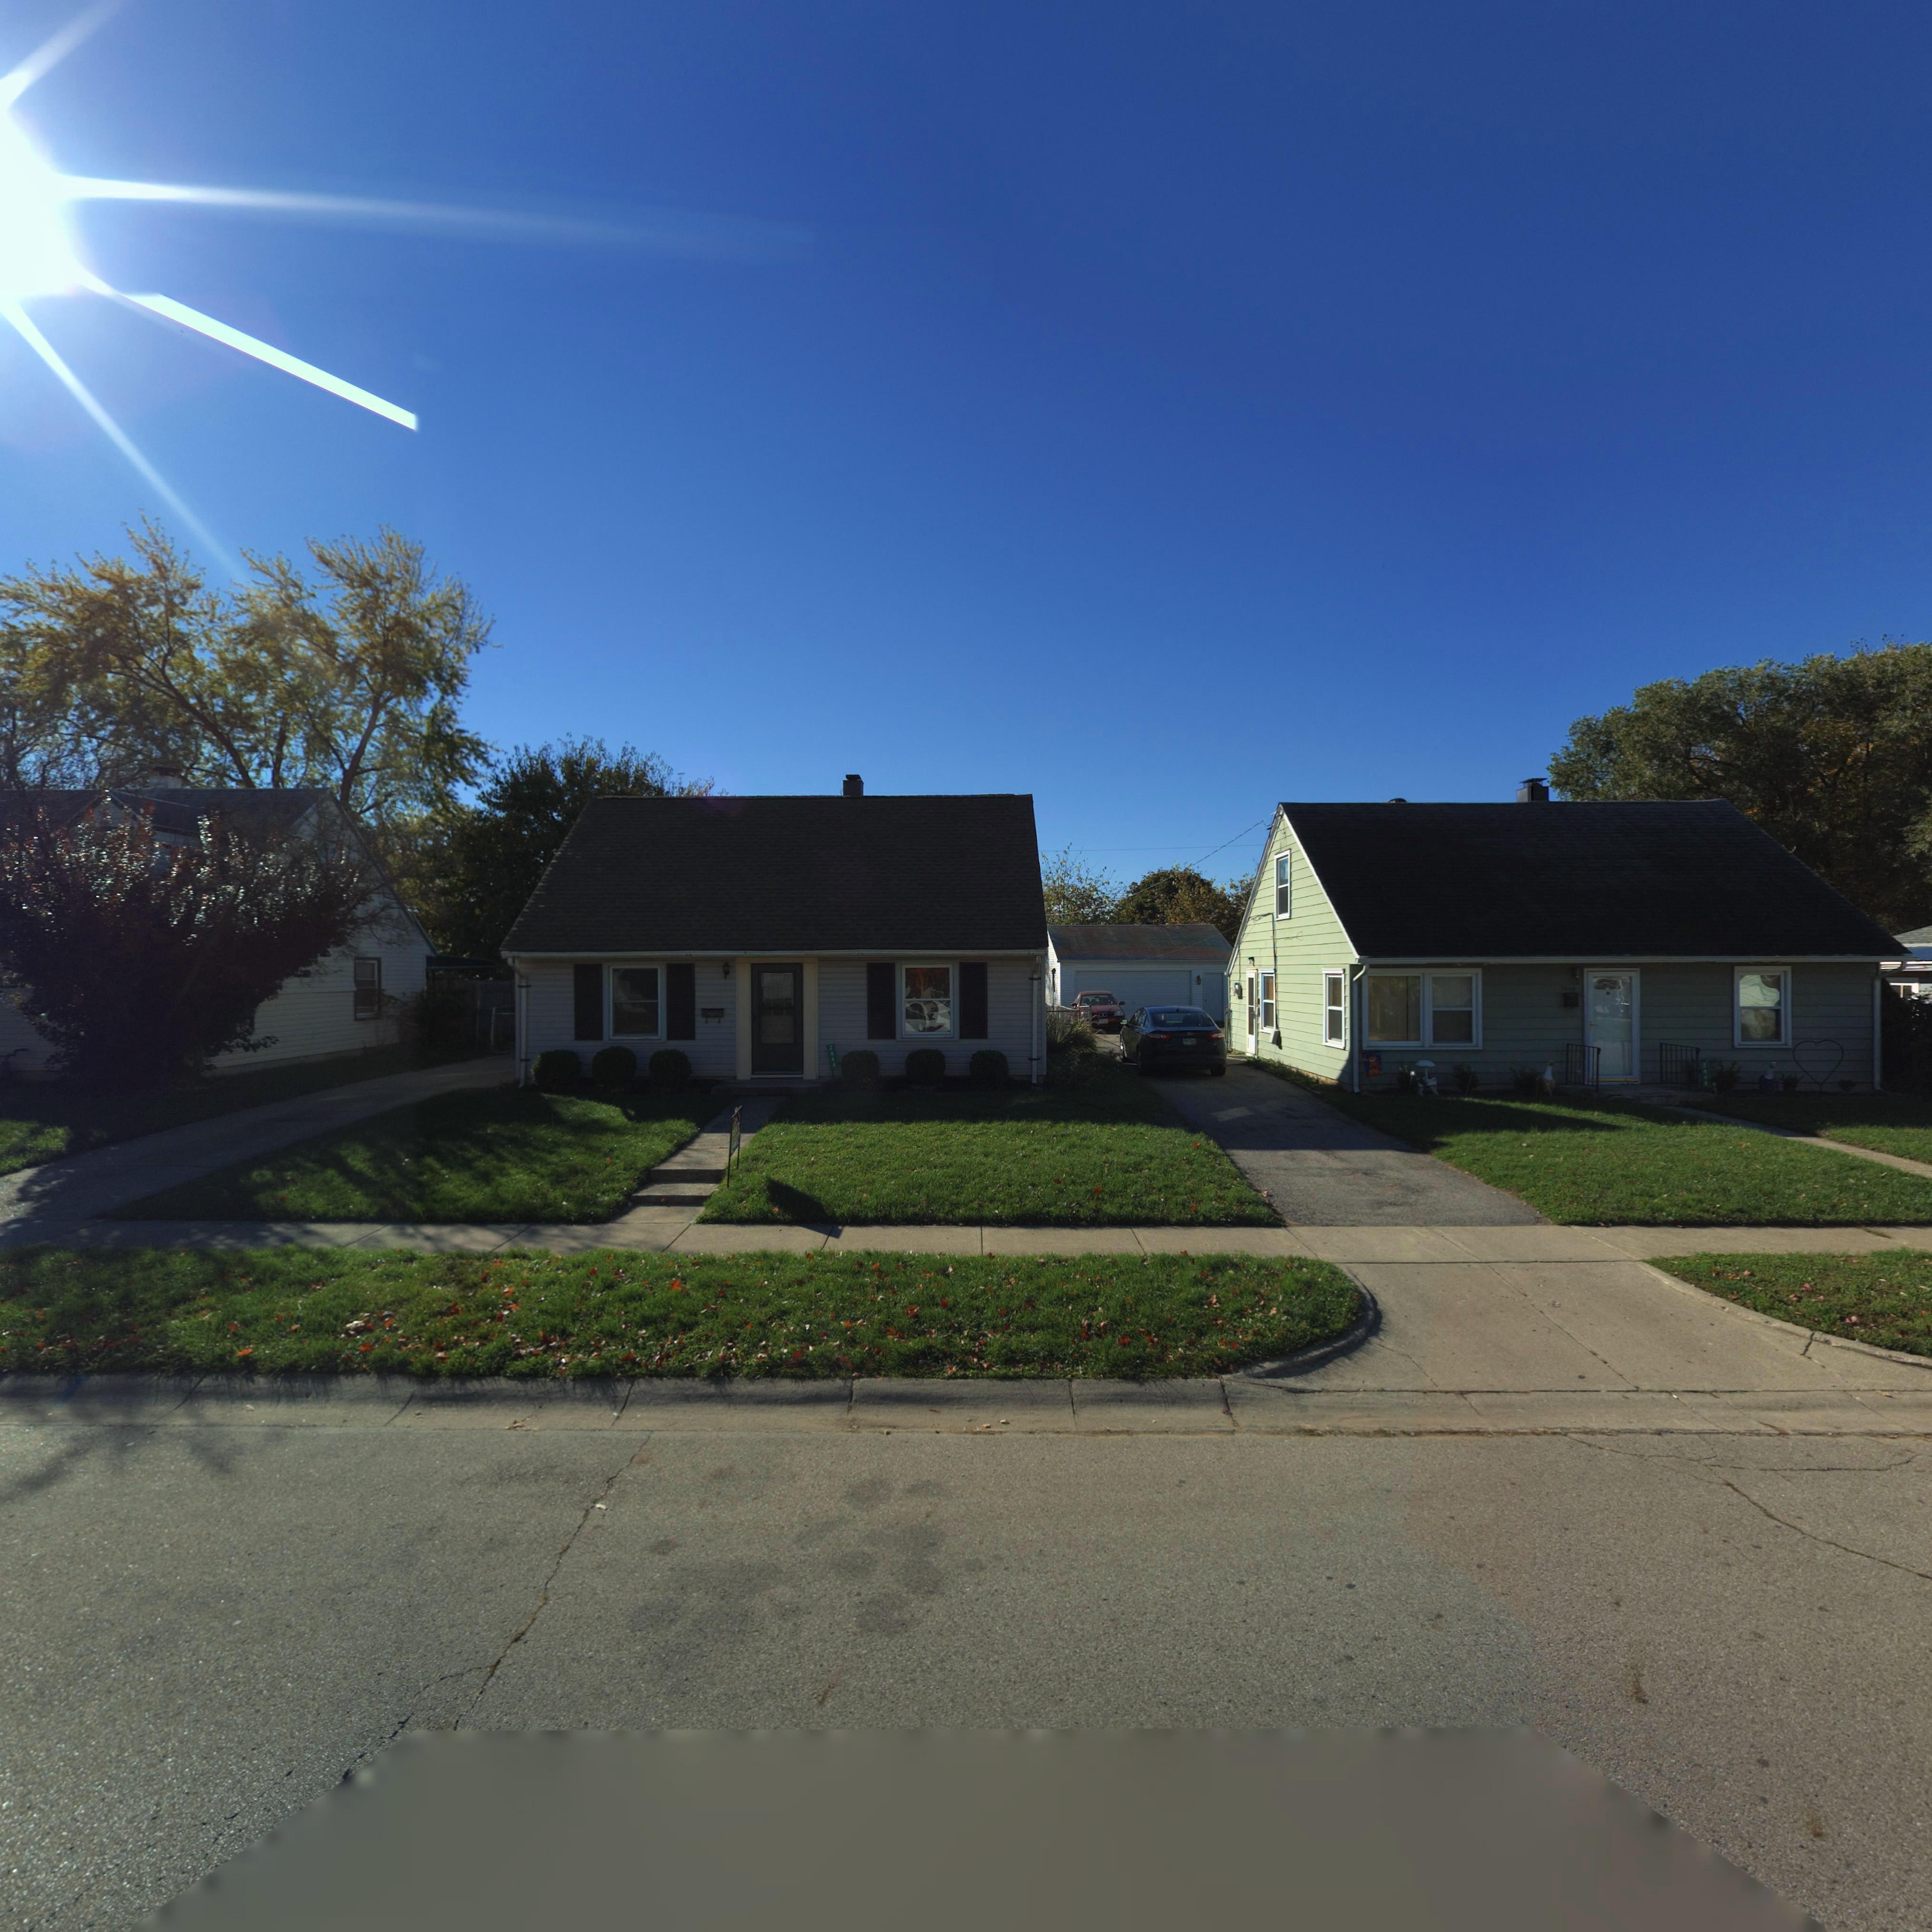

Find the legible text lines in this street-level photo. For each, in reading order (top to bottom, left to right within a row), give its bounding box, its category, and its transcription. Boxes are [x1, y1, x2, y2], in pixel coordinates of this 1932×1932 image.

[1560, 985, 1577, 993] StreetNumber: 2***
[828, 1044, 837, 1068] StreetNumber: 2444